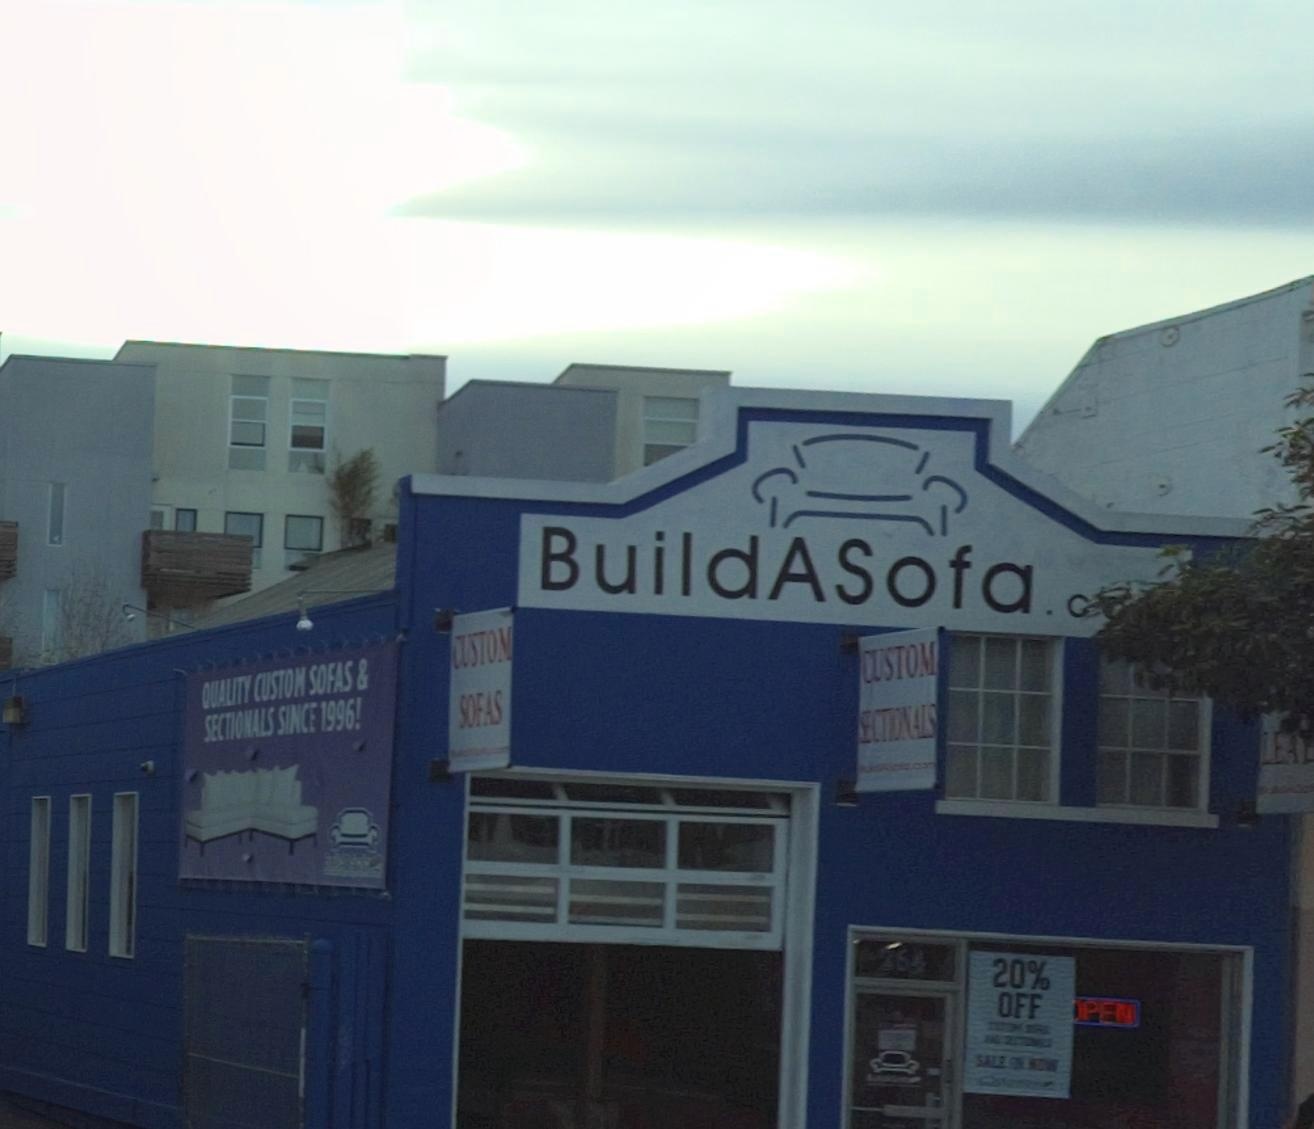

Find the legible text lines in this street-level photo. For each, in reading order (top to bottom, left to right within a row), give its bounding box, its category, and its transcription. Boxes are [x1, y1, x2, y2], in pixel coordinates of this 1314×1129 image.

[536, 521, 1039, 619] BusinessName: BuildASofa
[200, 655, 357, 713] None: QUALITY CUSTOM SOFAS
[449, 622, 516, 673] None: CUSTOM
[858, 636, 940, 687] None: CUSTOM
[201, 692, 364, 746] None: SECTIONALS SINCE 1996!
[455, 685, 506, 733] None: SOFAS
[857, 699, 945, 747] None: SECTIONALS
[1258, 727, 1288, 767] None: LE
[988, 954, 1031, 992] None: 20
[994, 988, 1048, 1022] None: OFF
[1080, 996, 1140, 1027] None: PEN